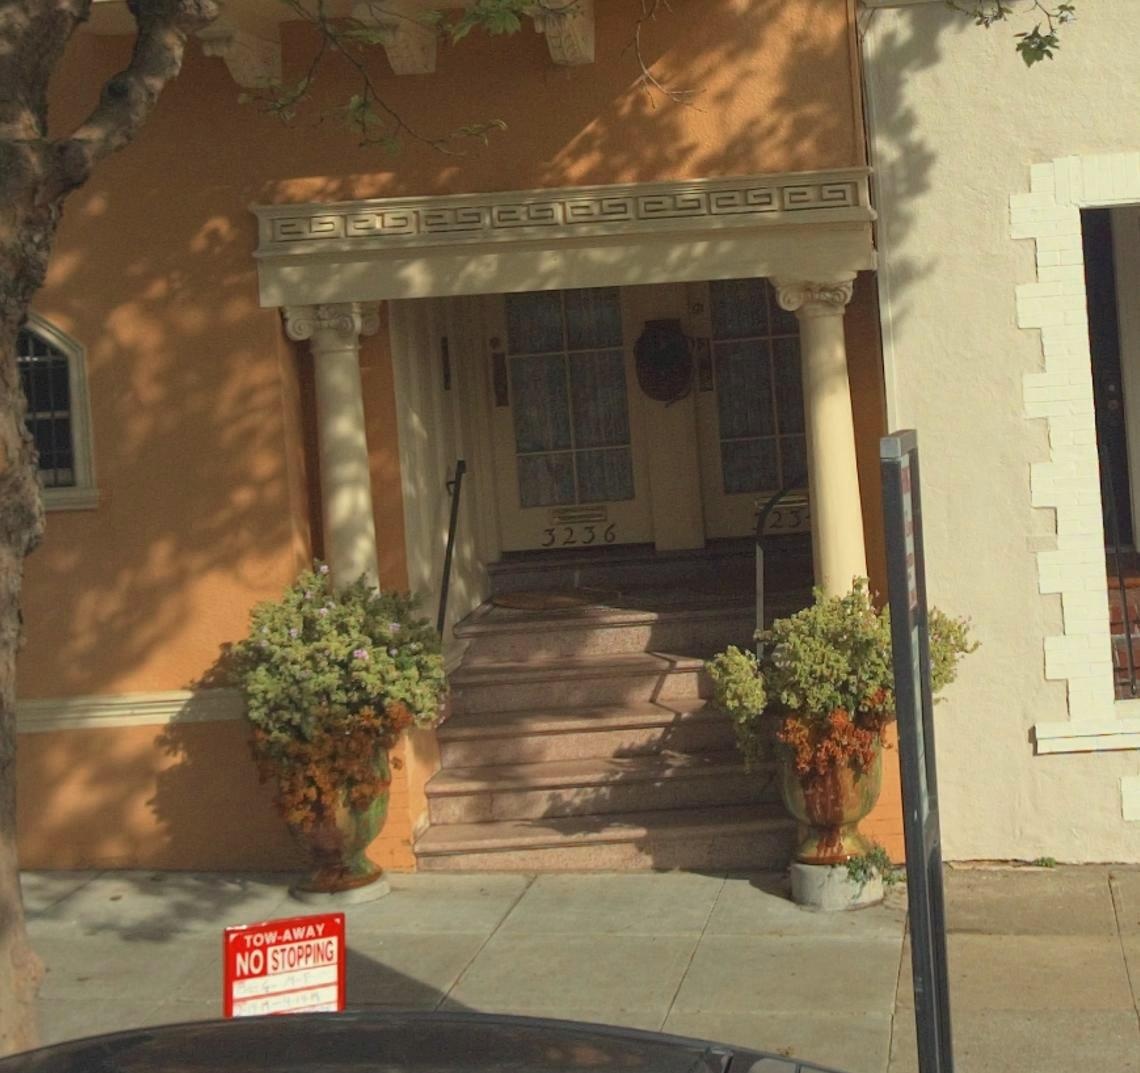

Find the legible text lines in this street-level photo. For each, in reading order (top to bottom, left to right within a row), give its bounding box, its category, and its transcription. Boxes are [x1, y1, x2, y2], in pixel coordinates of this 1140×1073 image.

[539, 519, 620, 550] StreetNumber: 3236
[766, 507, 805, 531] StreetNumber: 23
[239, 919, 328, 951] None: TOW-AWAY
[233, 936, 337, 980] None: NO STOPPING